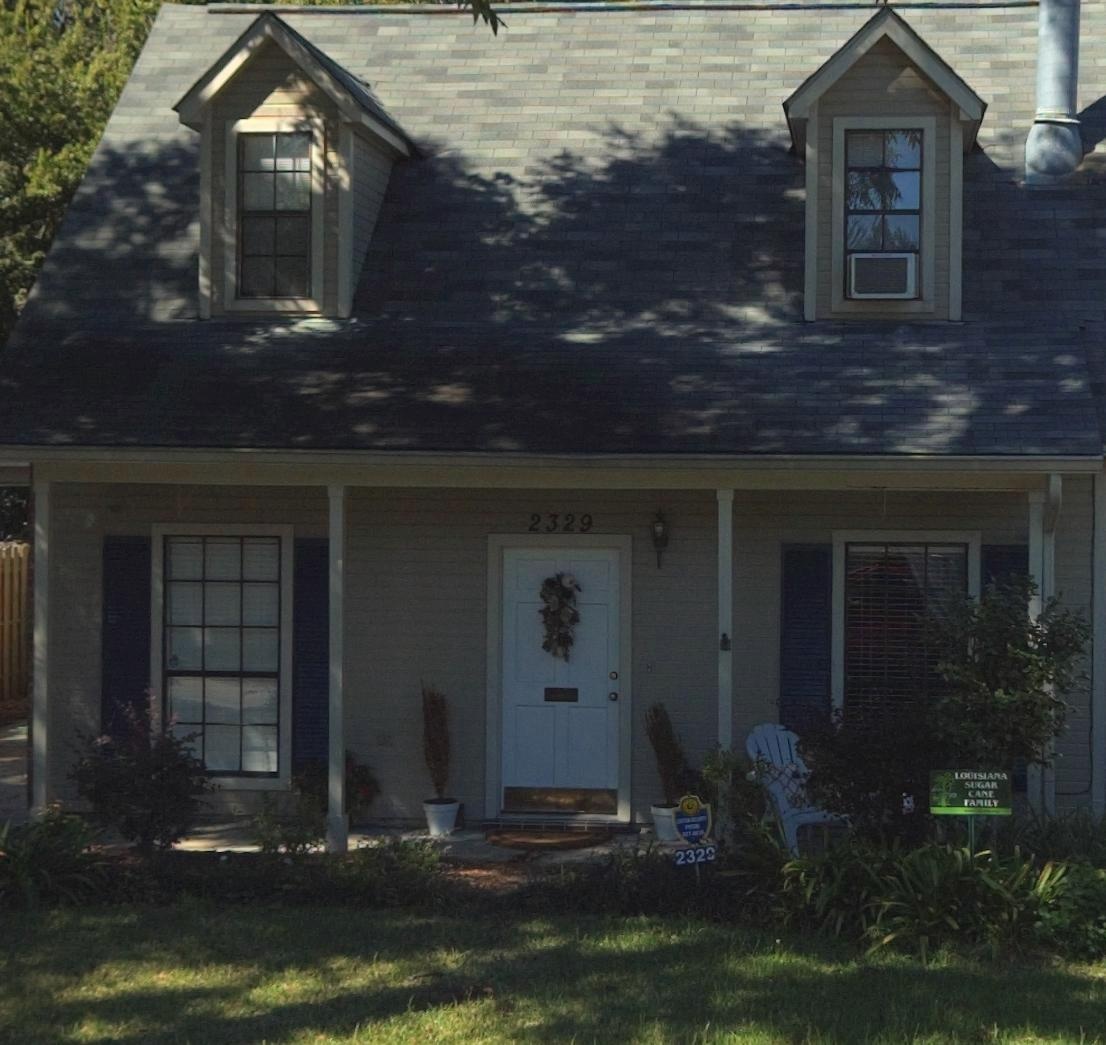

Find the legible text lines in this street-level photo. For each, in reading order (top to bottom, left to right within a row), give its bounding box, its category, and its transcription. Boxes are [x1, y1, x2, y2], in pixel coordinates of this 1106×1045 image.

[526, 511, 595, 535] StreetNumber: 2329
[953, 769, 1010, 781] None: LOUISIANA
[962, 779, 1001, 790] None: SUGAR
[966, 789, 997, 799] None: CANE
[962, 797, 1001, 809] None: FAMILY
[672, 843, 719, 868] StreetNumber: 232*